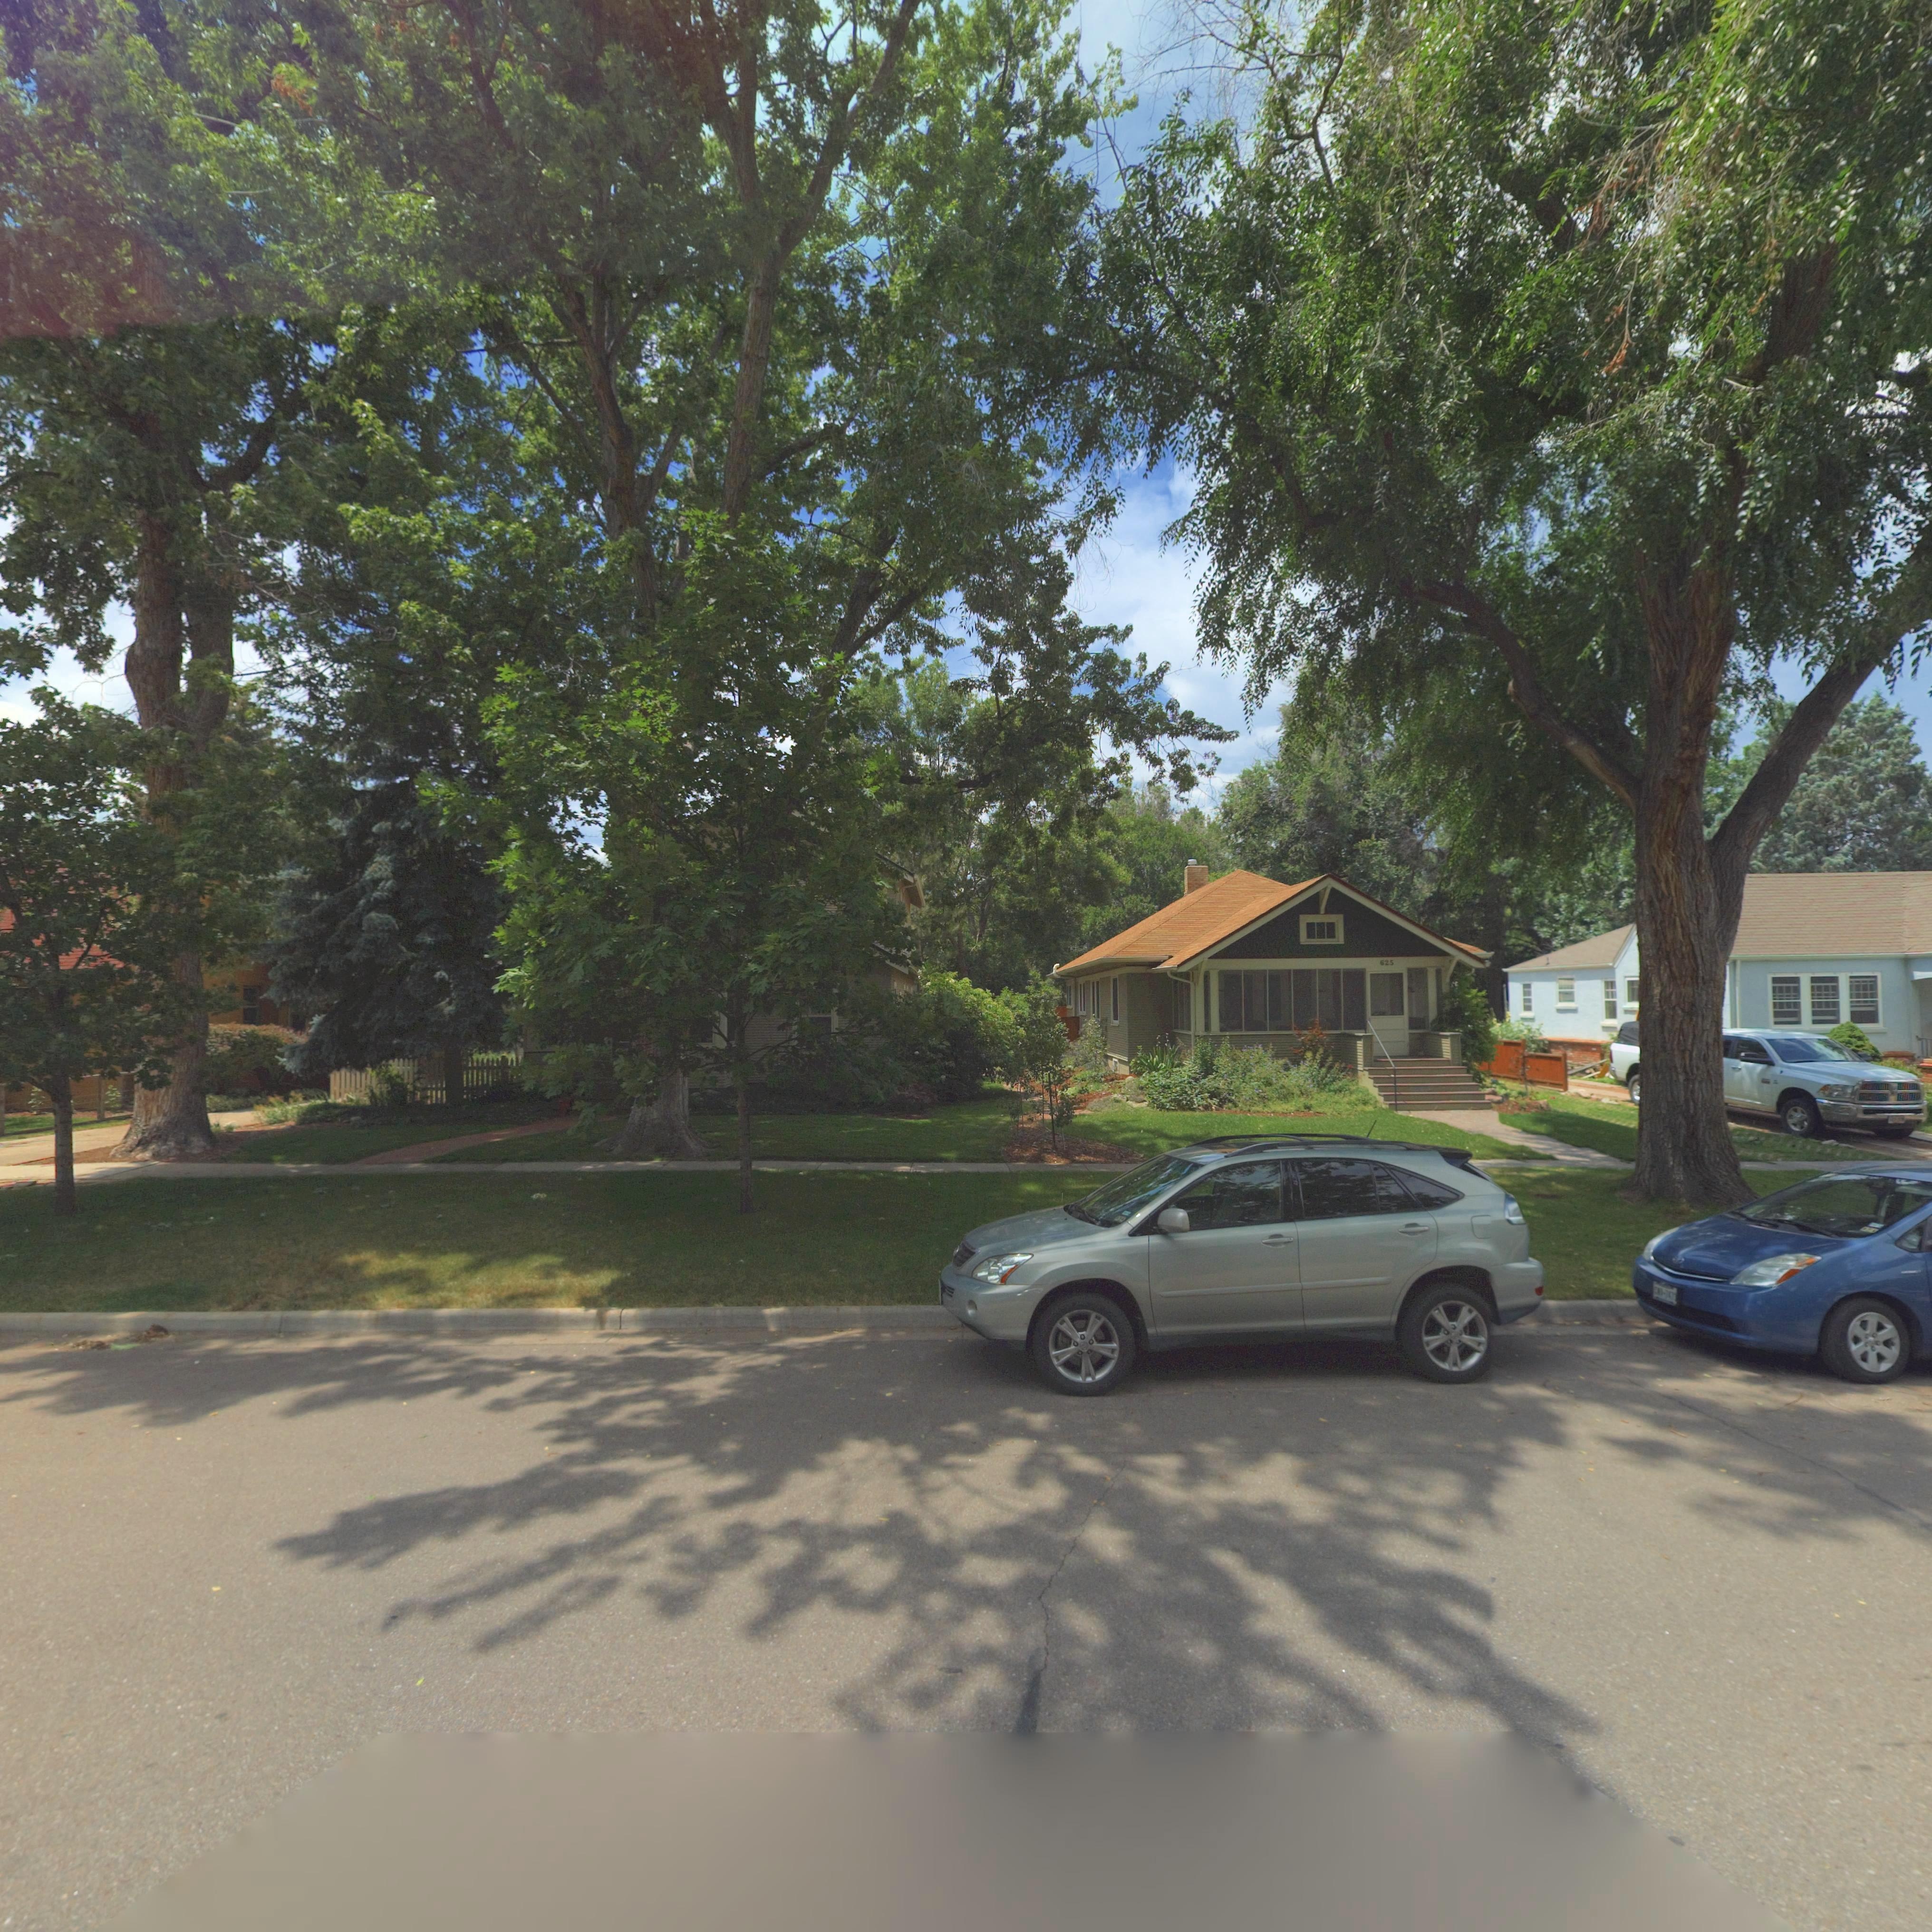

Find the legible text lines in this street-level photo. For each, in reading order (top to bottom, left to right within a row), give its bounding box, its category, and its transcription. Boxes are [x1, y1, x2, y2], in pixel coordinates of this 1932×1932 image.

[1380, 959, 1394, 966] StreetNumber: 625